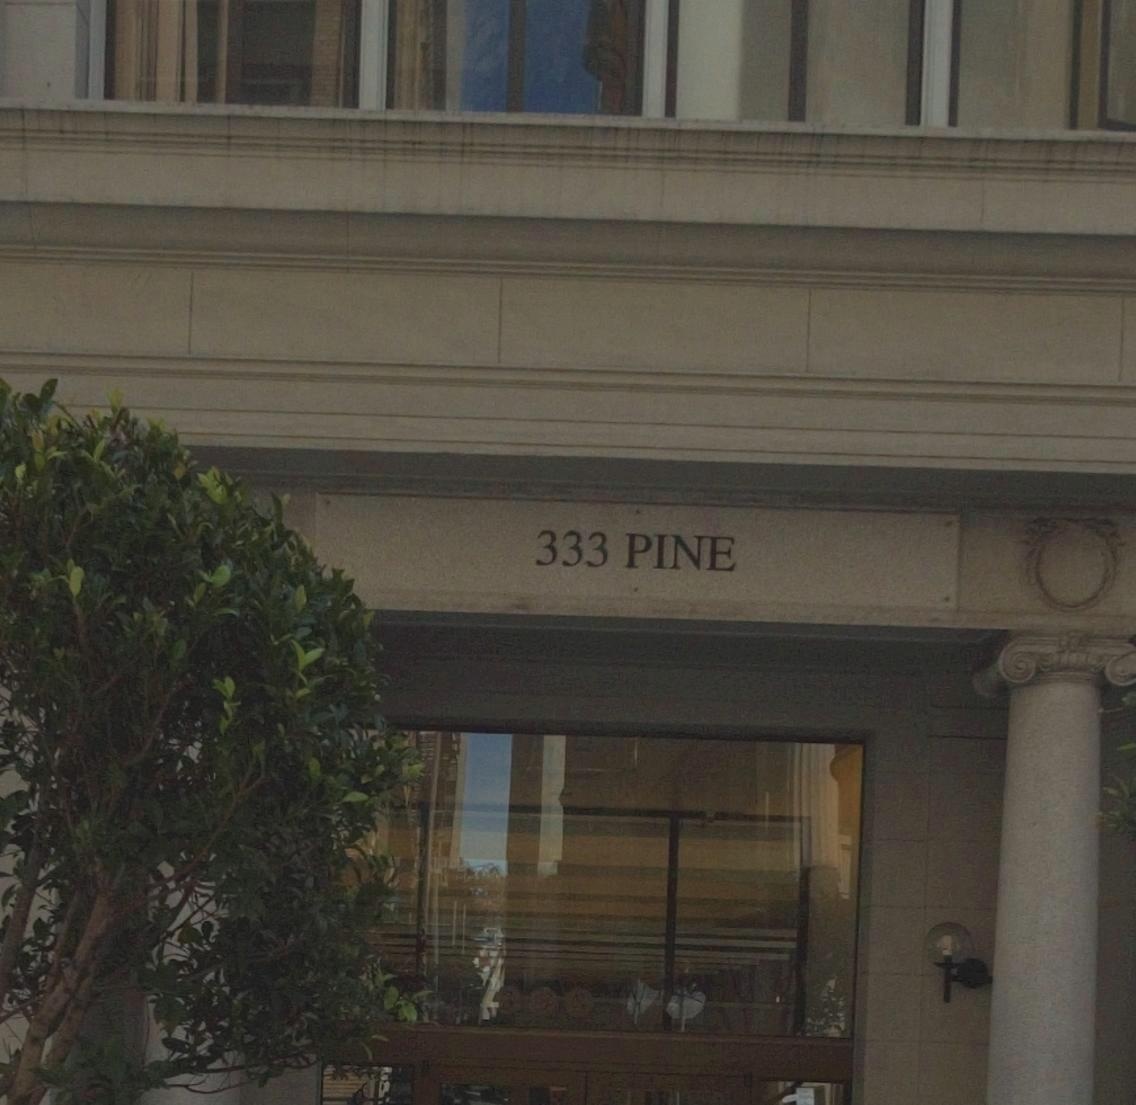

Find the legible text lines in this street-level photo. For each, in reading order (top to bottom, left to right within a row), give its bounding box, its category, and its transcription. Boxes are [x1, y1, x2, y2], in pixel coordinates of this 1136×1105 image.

[532, 525, 608, 572] StreetNumber: 333
[622, 529, 738, 574] StreetName: PINE